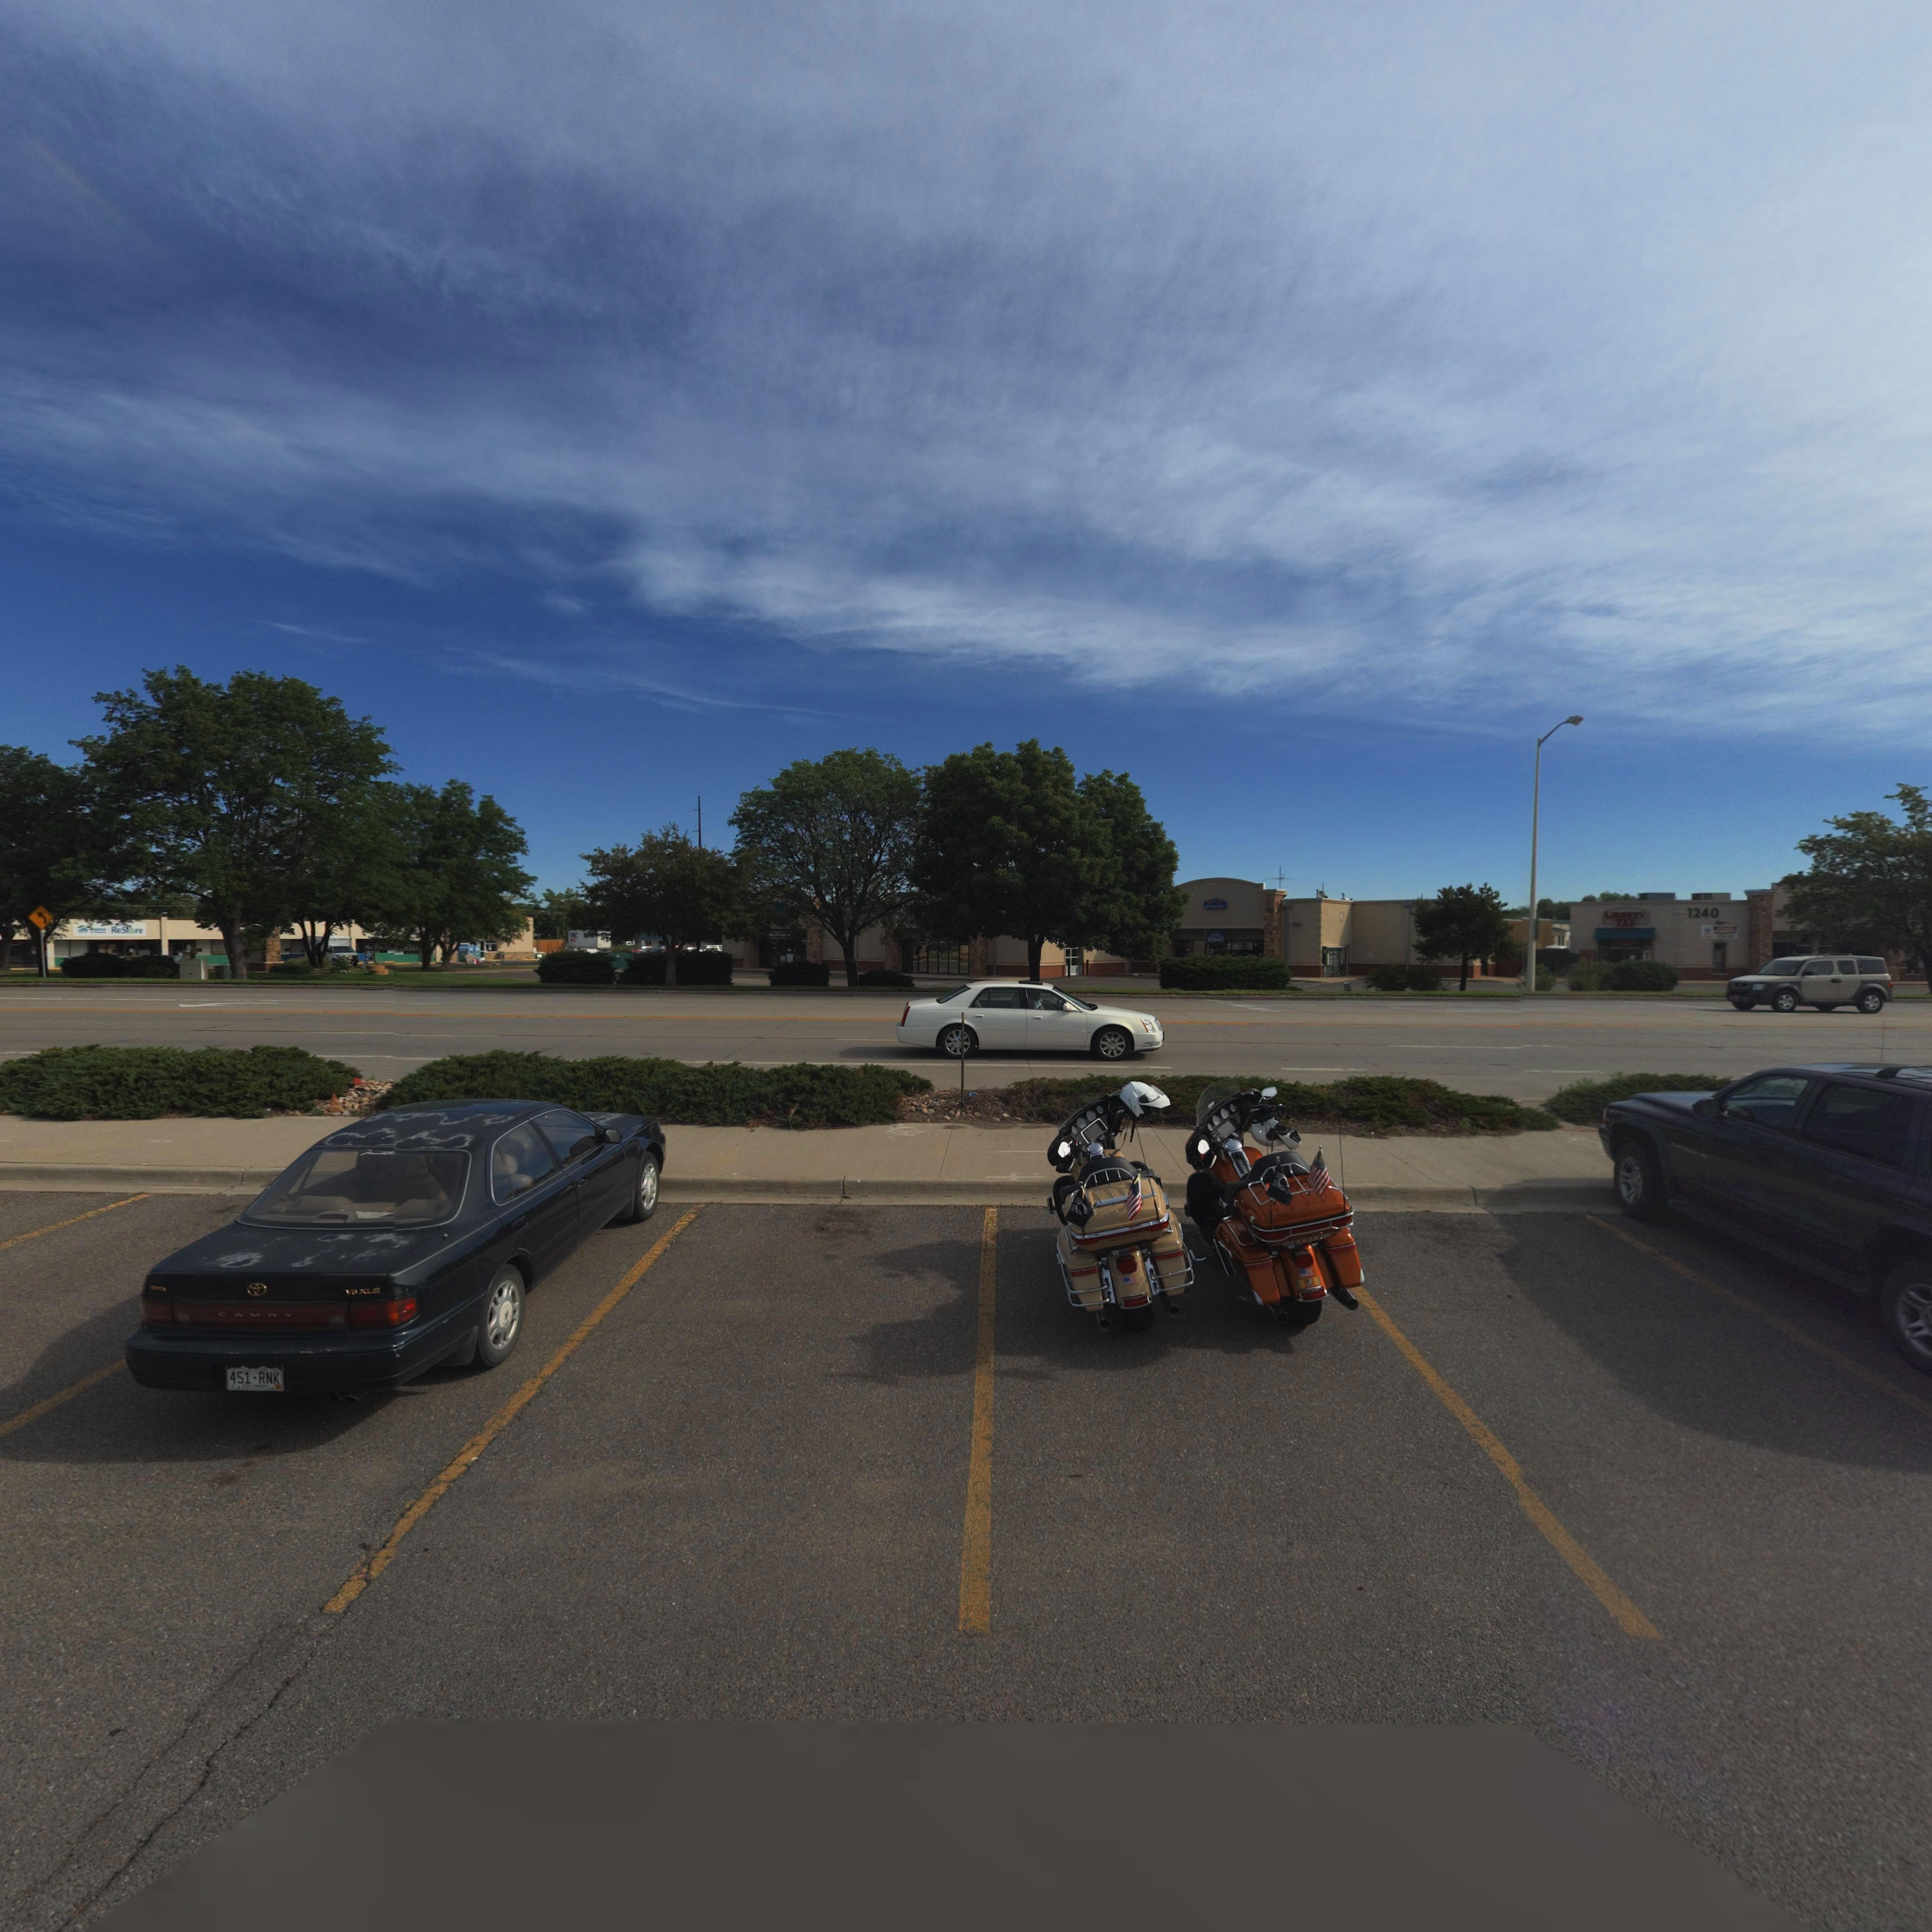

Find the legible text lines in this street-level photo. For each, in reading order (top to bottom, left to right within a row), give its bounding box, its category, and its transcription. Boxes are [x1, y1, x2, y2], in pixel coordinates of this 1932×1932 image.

[1207, 899, 1222, 905] BusinessName: **D
[1604, 910, 1645, 918] BusinessName: LIBERTY
[1687, 908, 1721, 919] StreetNumber: 1240
[1614, 918, 1636, 927] BusinessName: TAX
[111, 926, 144, 933] BusinessName: ReStore